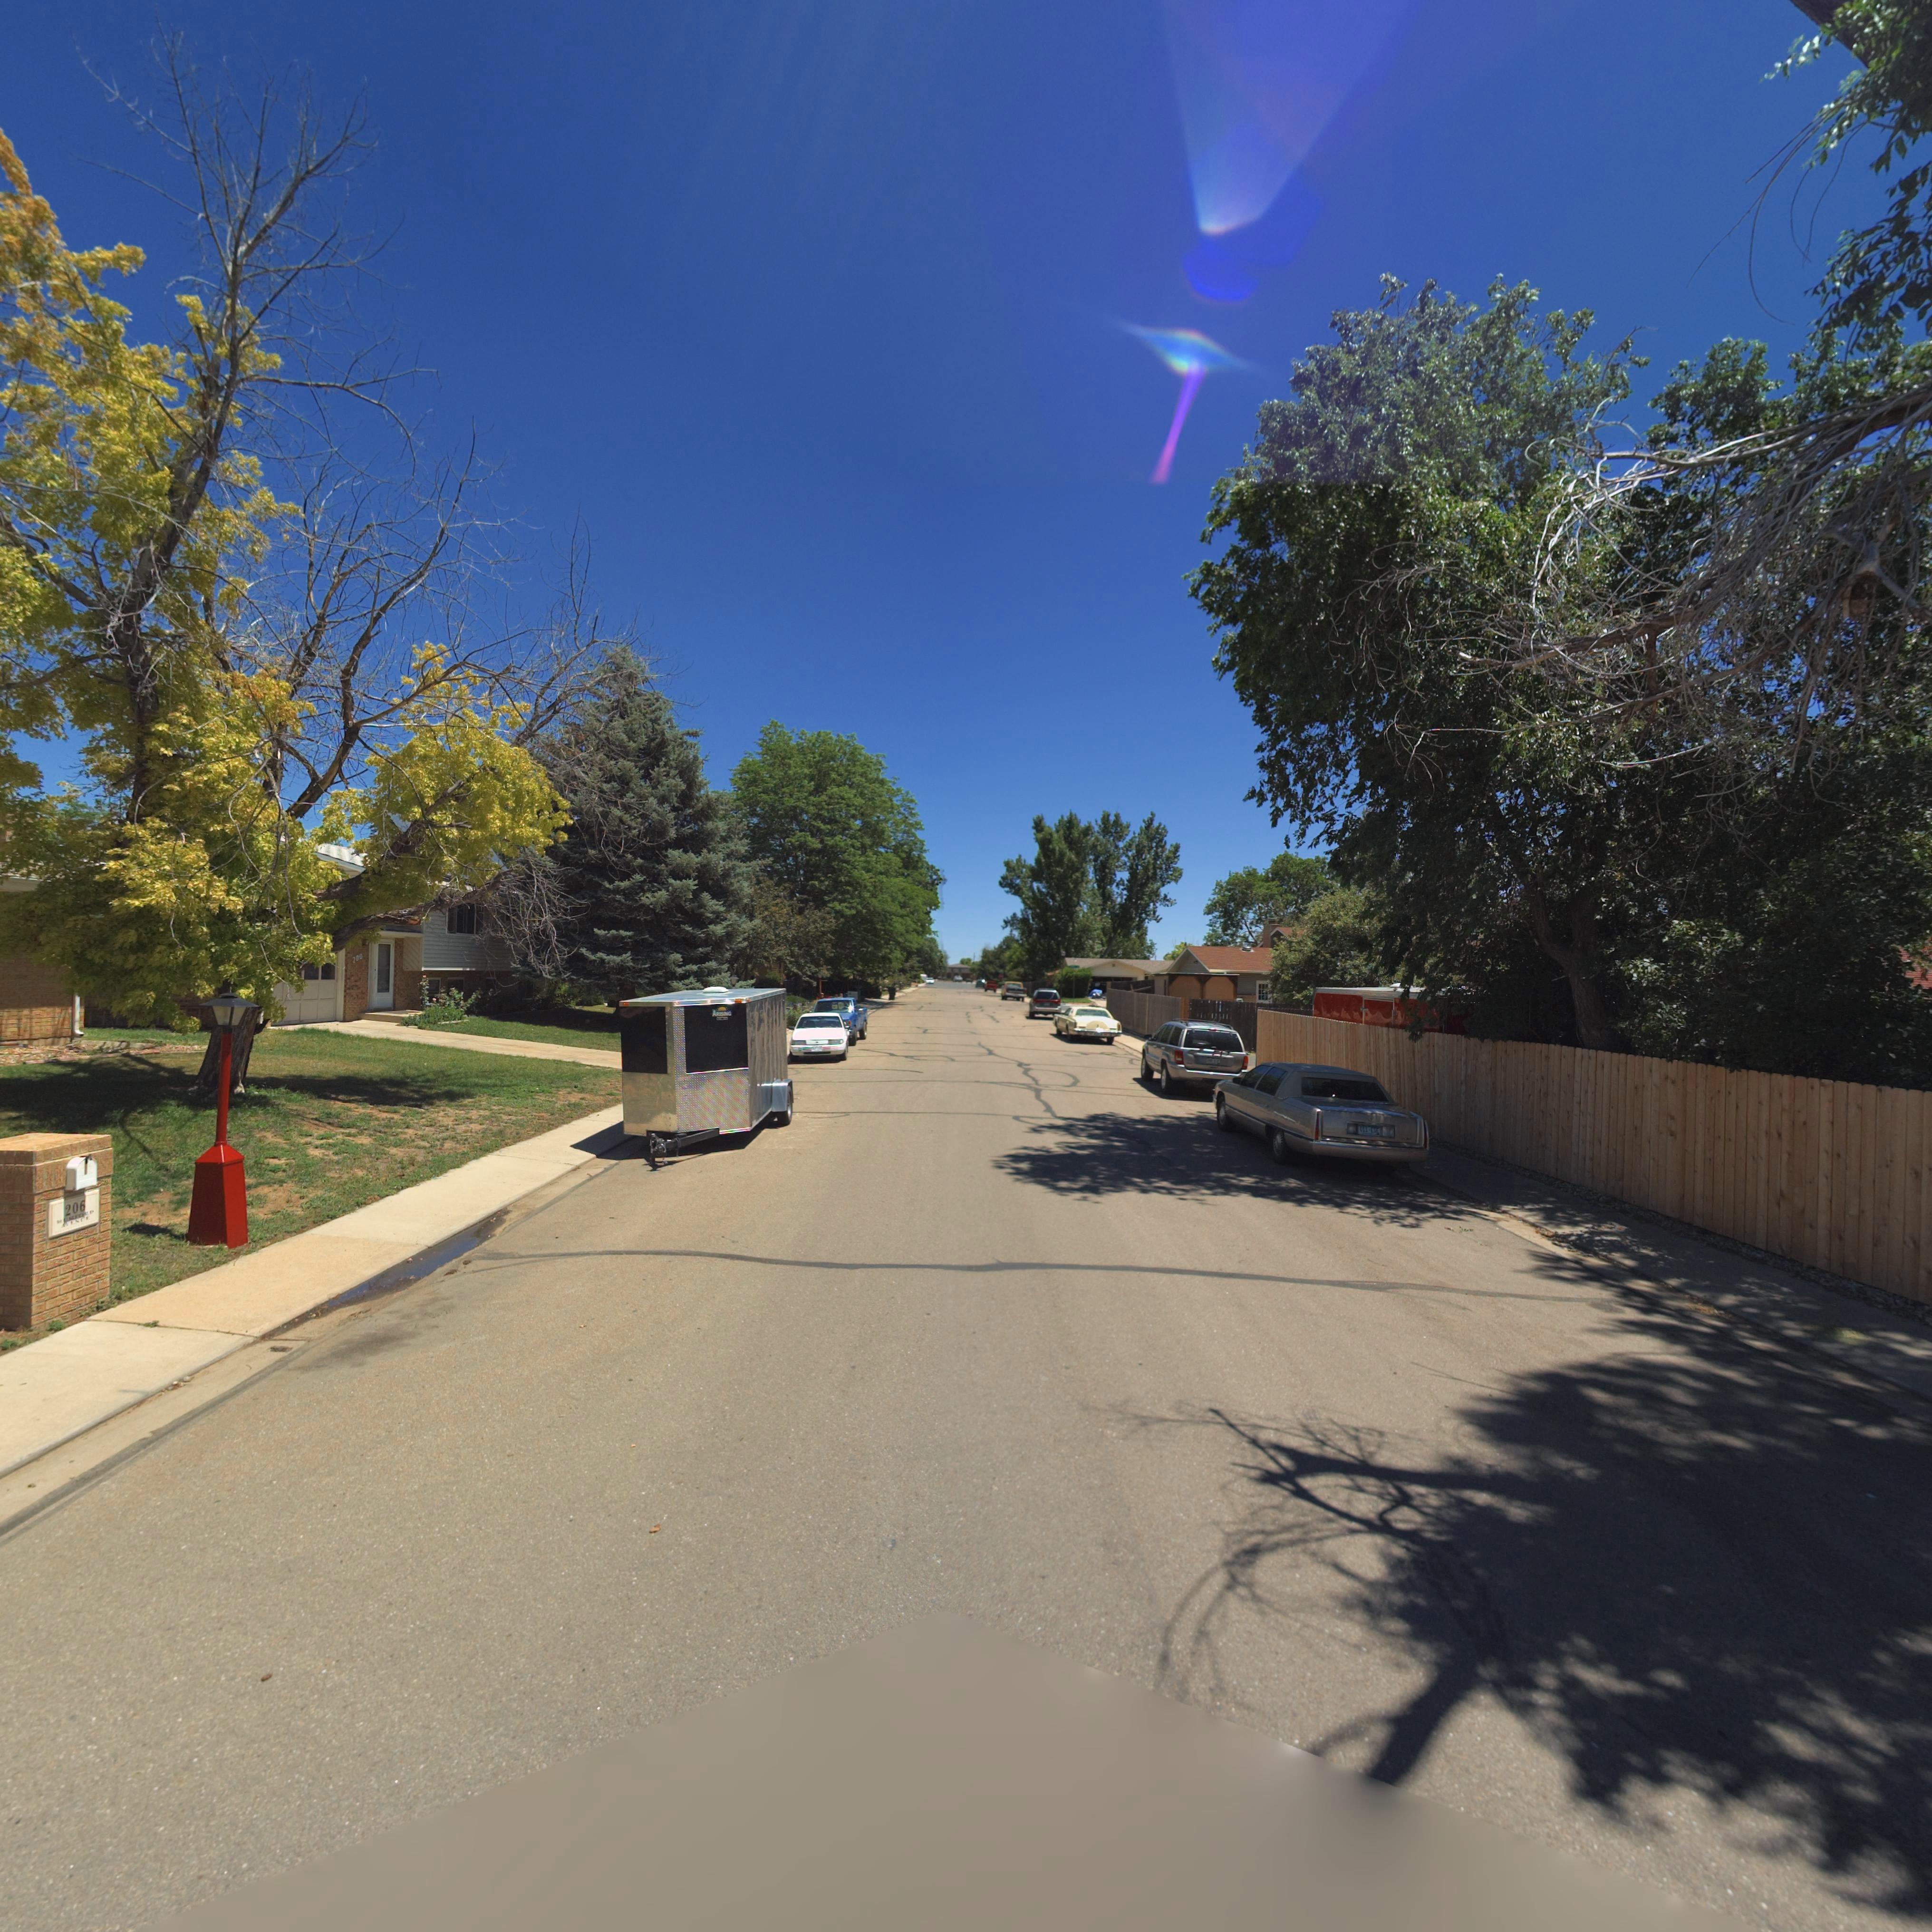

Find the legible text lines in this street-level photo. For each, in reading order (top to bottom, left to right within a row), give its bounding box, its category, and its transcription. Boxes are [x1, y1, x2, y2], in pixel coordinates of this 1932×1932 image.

[352, 952, 364, 964] StreetNumber: 200
[64, 1199, 86, 1217] StreetNumber: 206